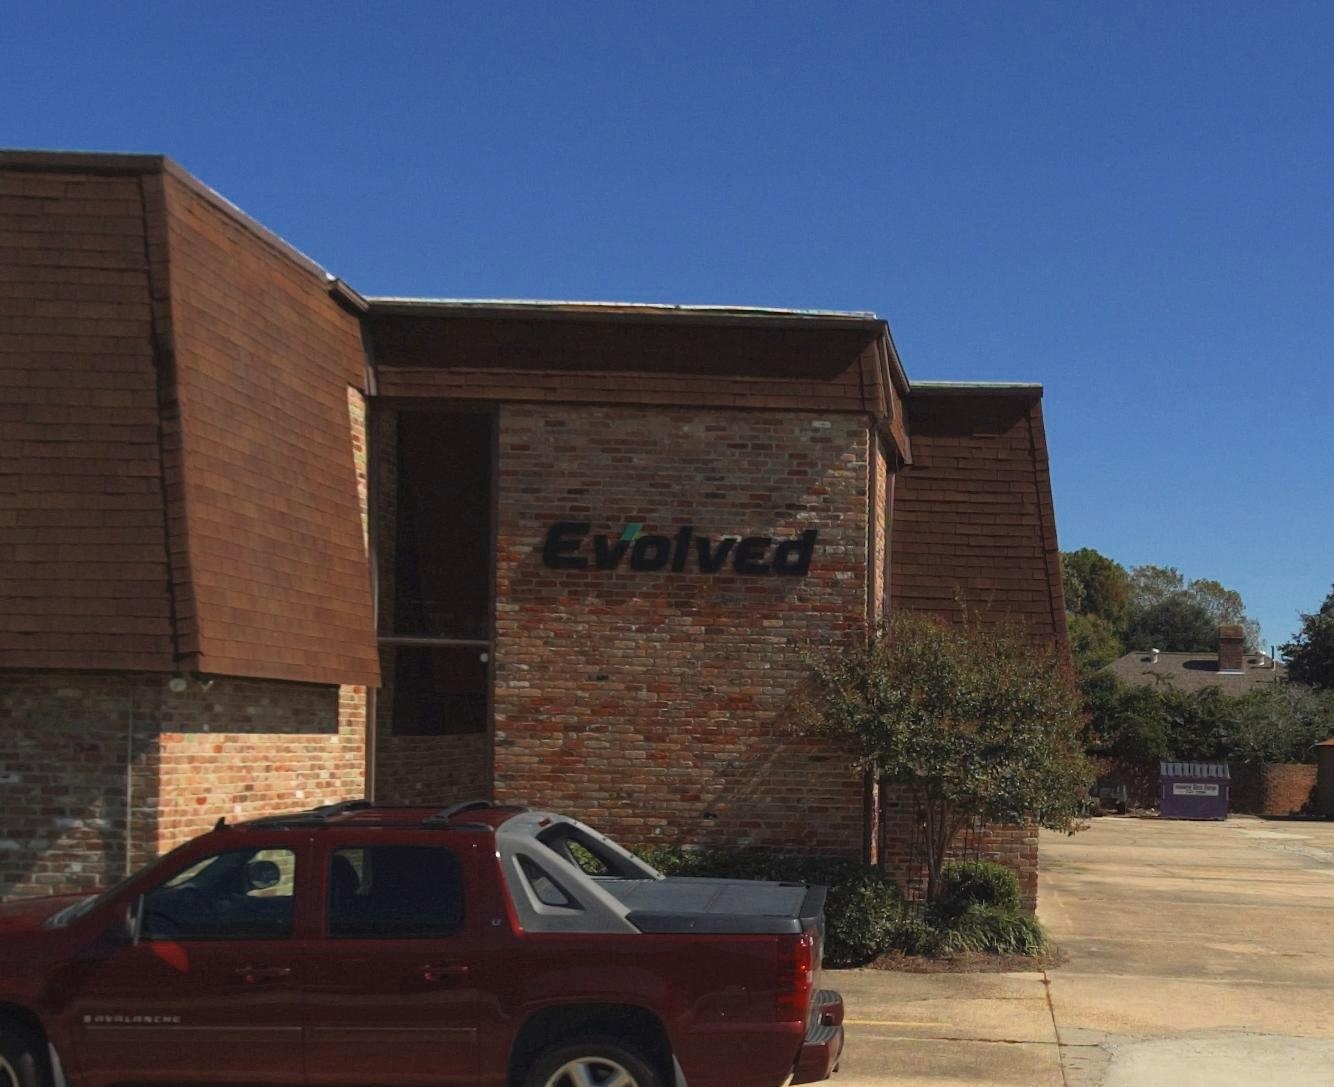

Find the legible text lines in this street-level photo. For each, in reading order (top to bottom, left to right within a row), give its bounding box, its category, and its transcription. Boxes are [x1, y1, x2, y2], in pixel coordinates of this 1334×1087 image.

[535, 517, 822, 579] BusinessName: EVOLVED